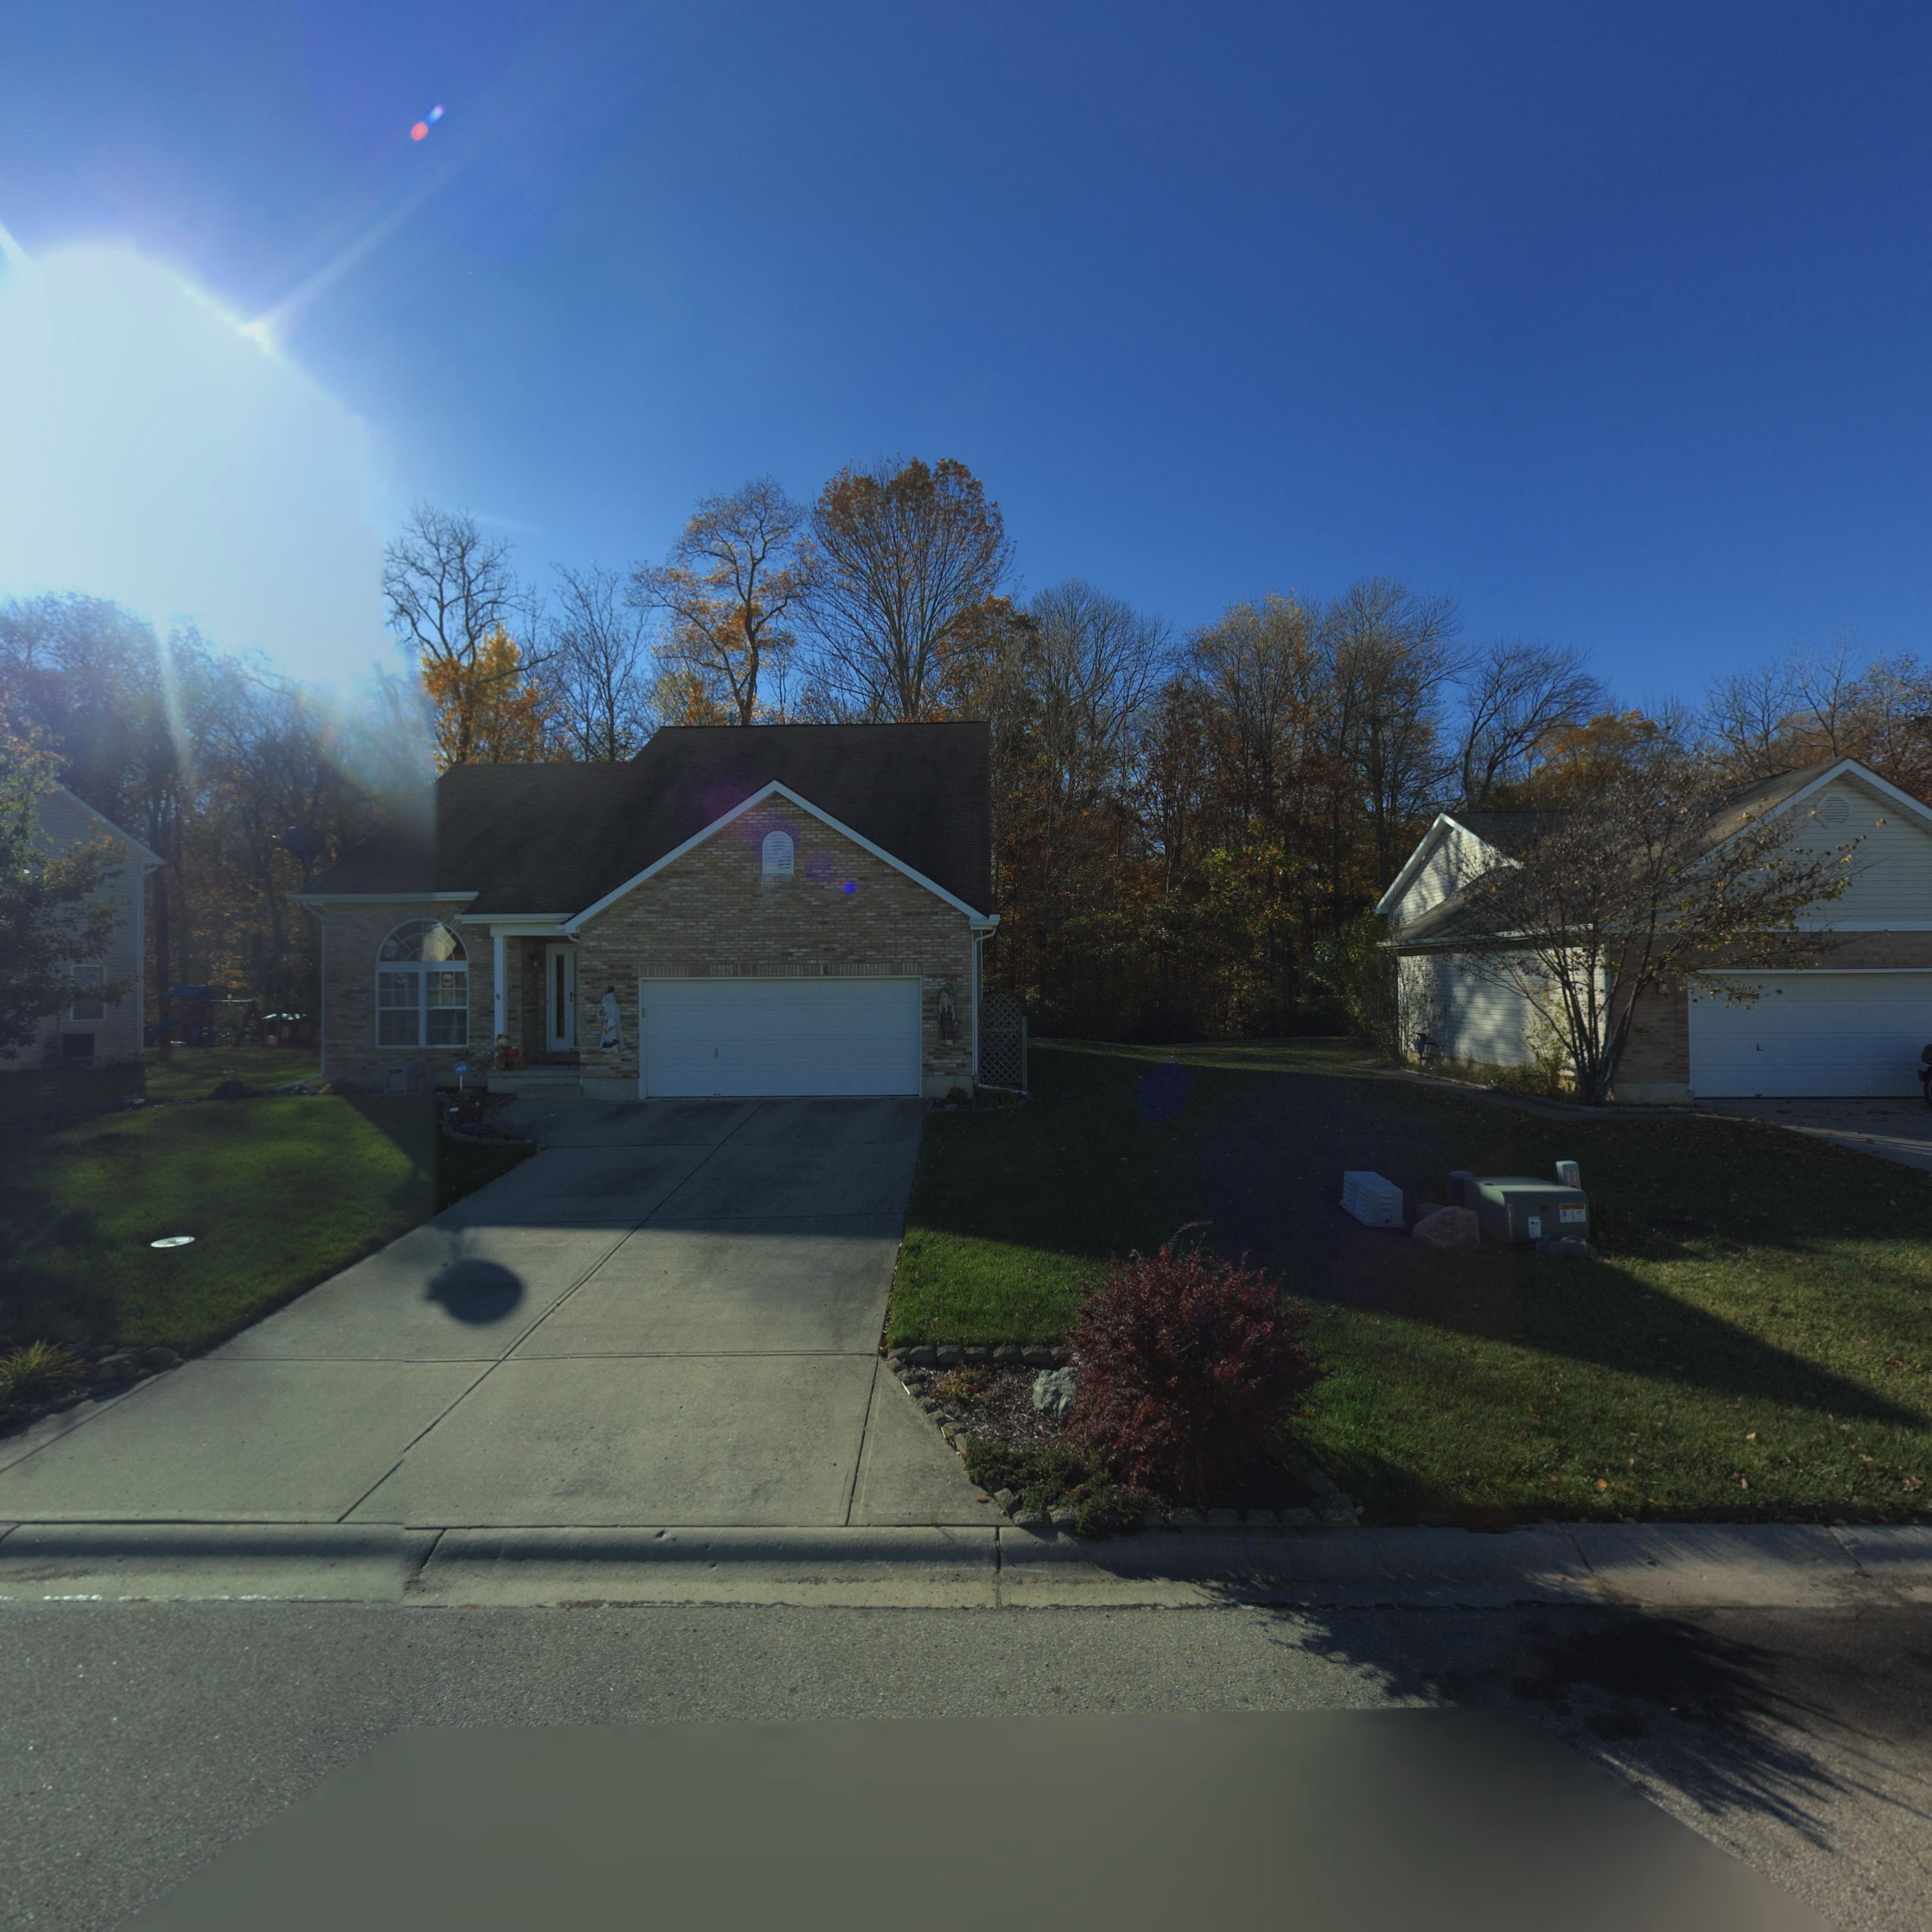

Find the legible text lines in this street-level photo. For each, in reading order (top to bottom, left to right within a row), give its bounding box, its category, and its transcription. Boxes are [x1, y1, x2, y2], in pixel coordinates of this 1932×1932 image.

[599, 1009, 604, 1017] StreetNumber: 6